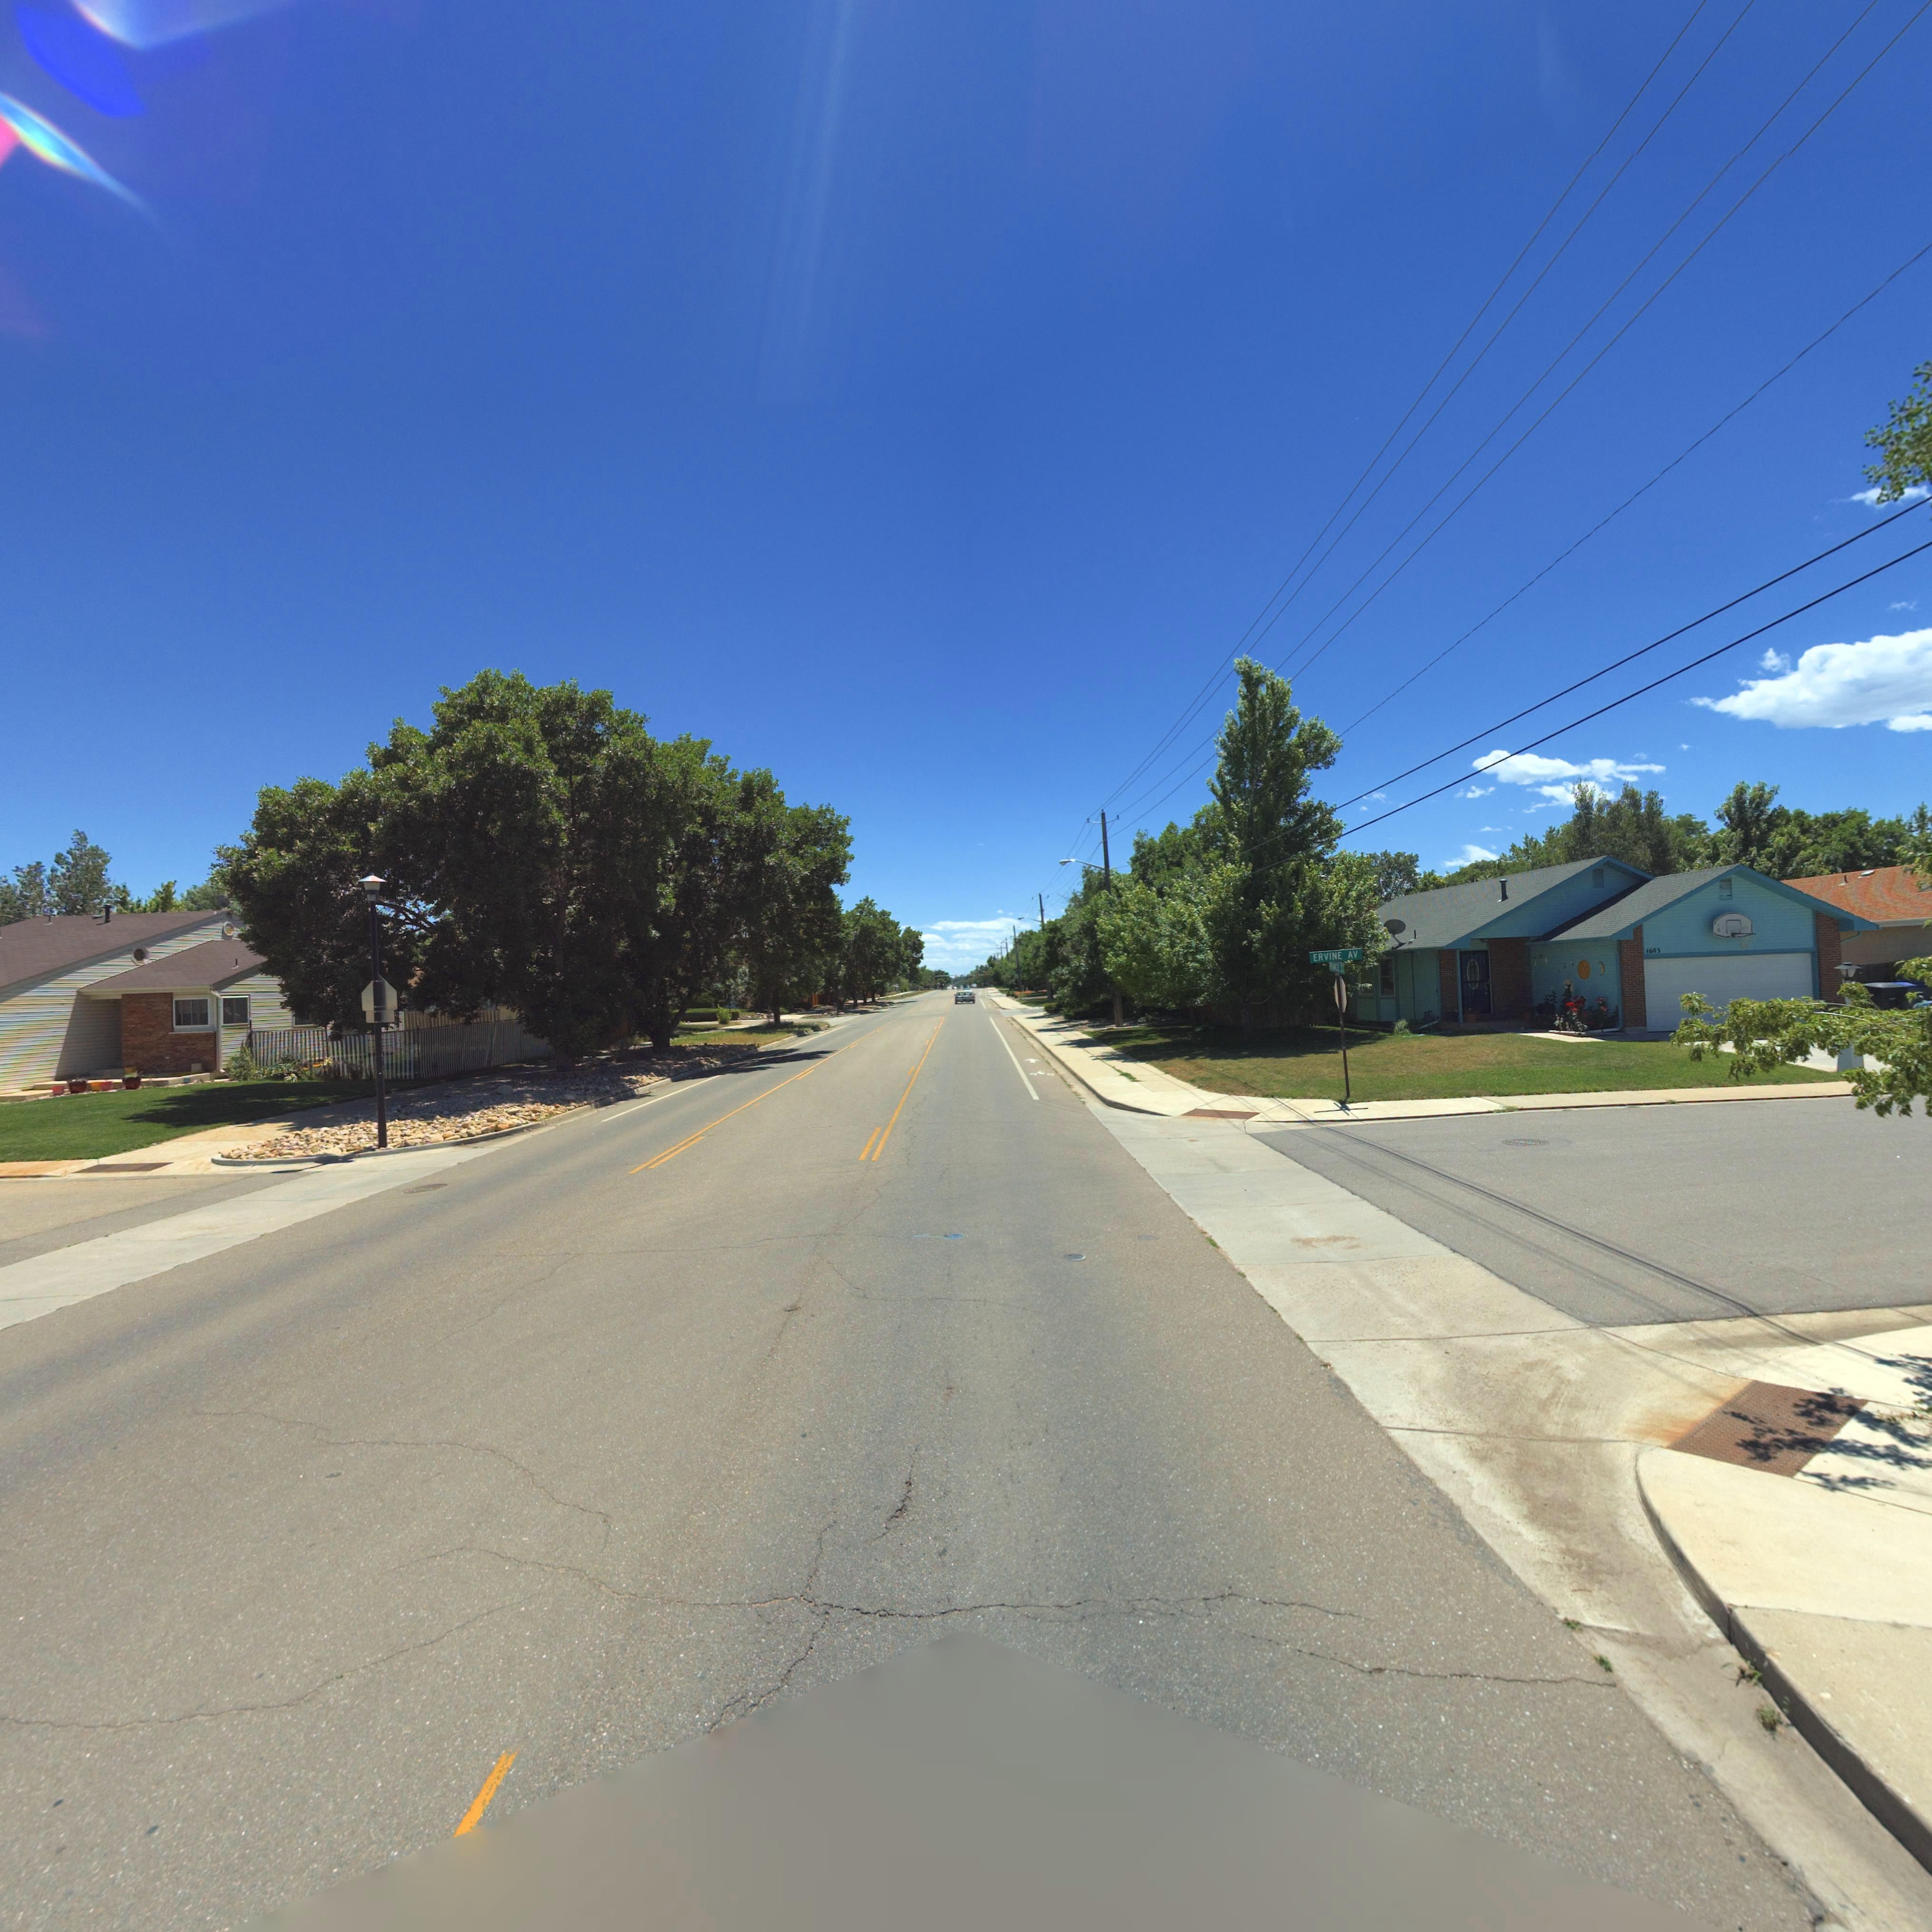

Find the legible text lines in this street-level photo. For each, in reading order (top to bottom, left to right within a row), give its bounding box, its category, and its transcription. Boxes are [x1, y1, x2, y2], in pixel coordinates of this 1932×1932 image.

[1312, 949, 1359, 962] StreetName: ERVINE AV
[1646, 948, 1661, 954] StreetNumber: 1603